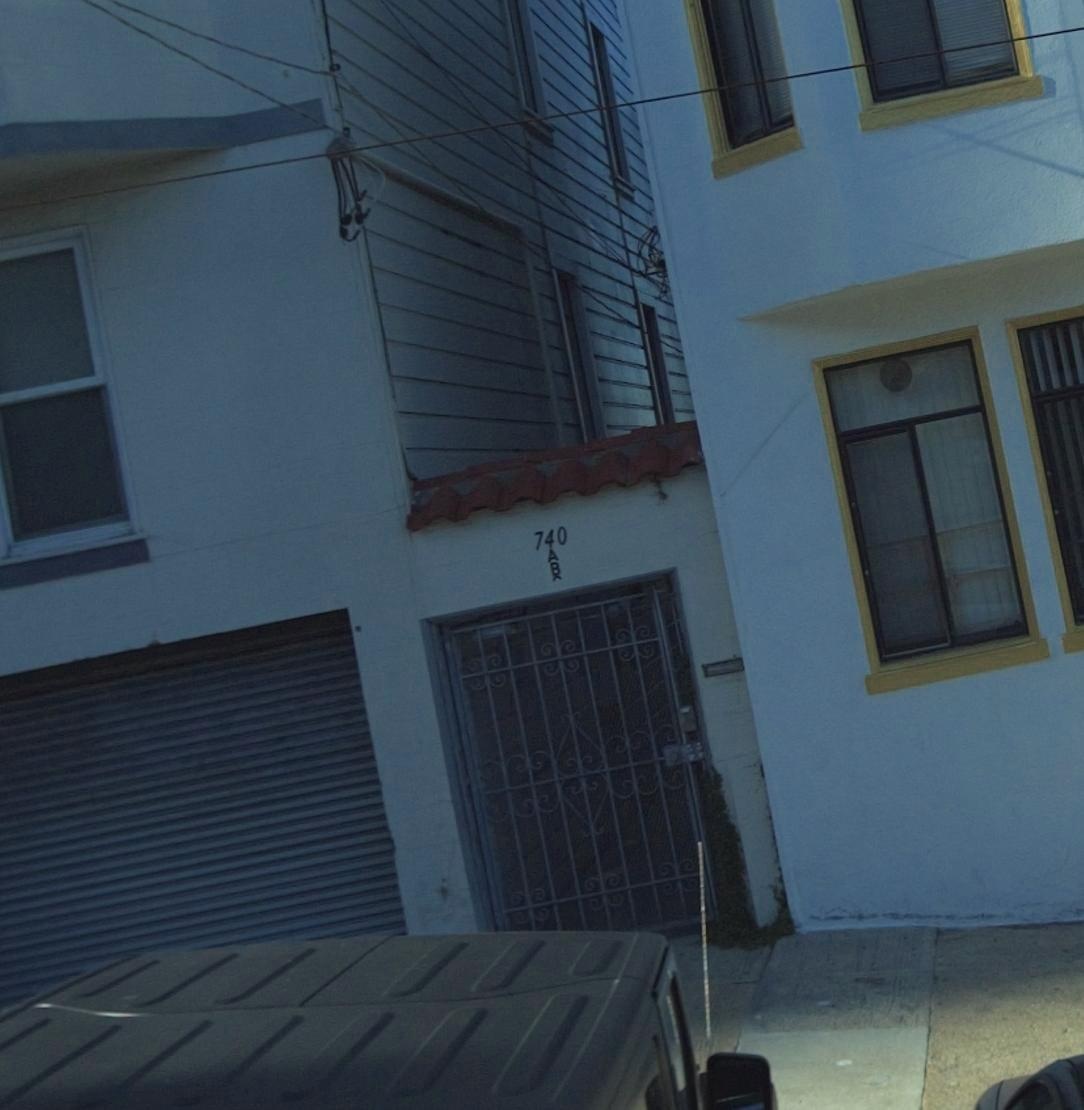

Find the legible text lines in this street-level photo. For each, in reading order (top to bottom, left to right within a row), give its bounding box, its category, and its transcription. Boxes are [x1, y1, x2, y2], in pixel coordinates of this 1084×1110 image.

[533, 524, 569, 552] StreetNumber: 740
[546, 547, 564, 584] StreetNumber: AB*